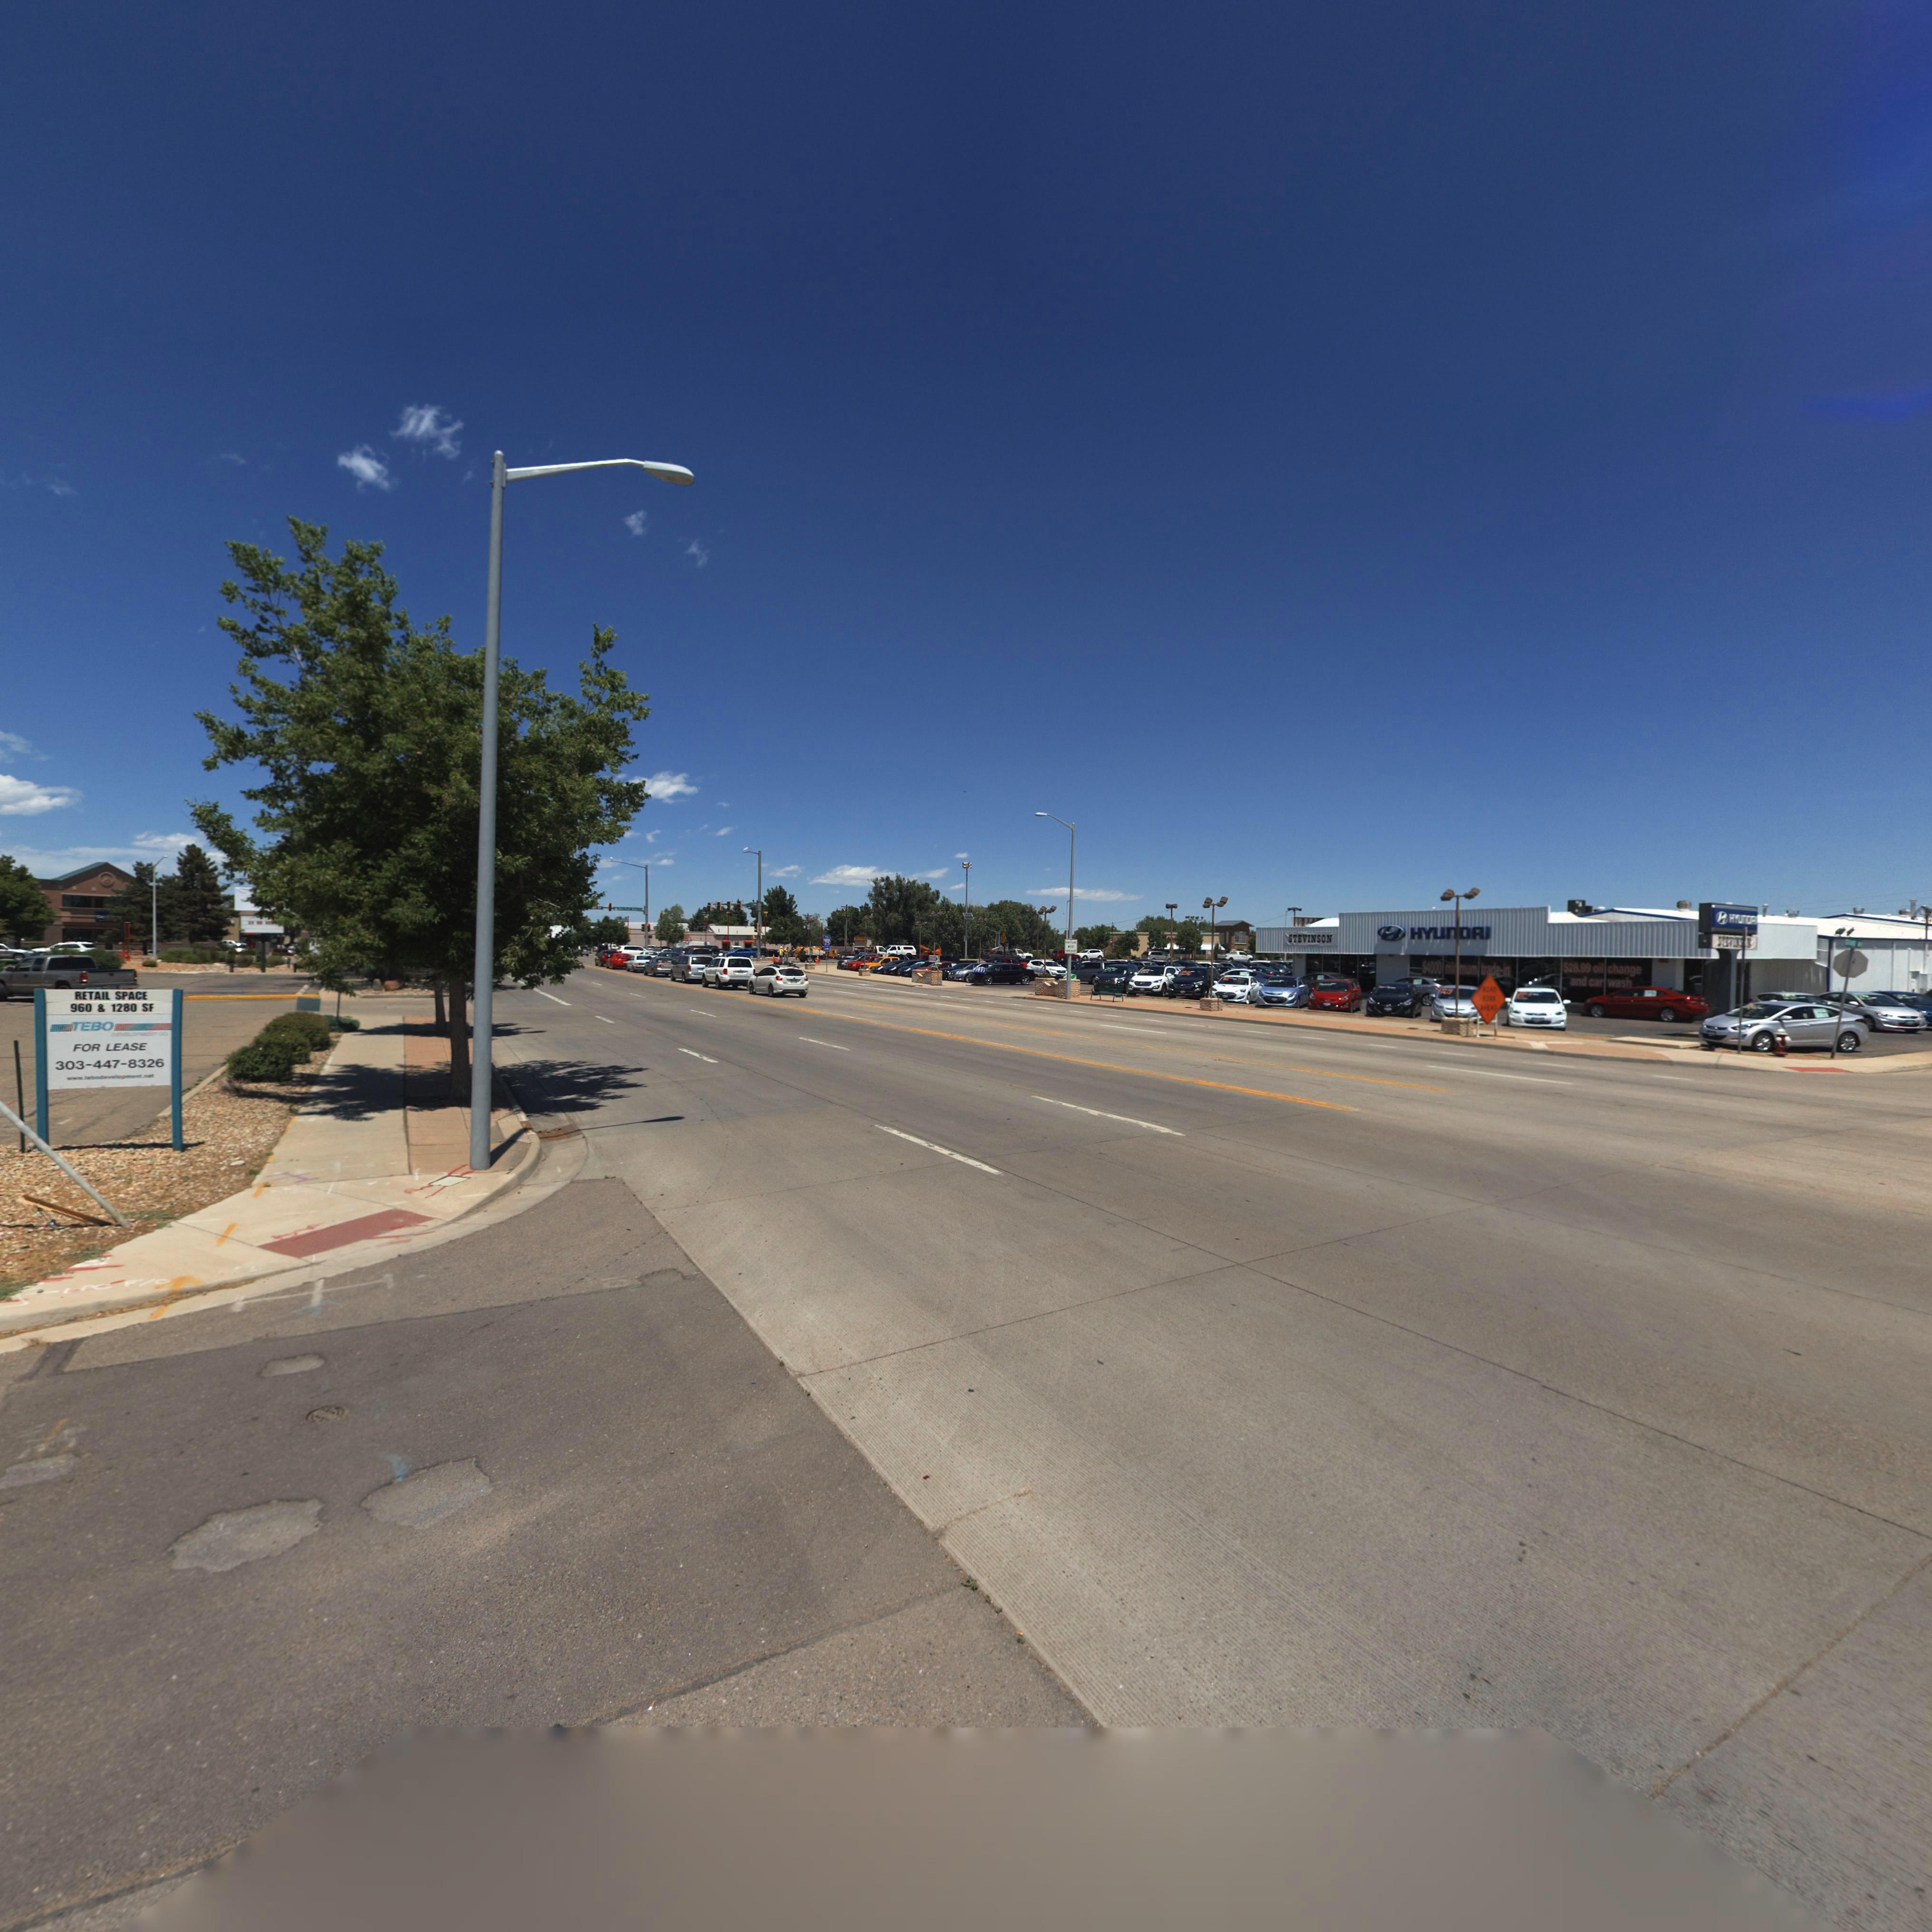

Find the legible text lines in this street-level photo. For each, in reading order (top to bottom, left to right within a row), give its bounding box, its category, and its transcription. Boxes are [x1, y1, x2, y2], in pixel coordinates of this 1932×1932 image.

[1729, 913, 1758, 925] BusinessName: HYU*DA*
[1288, 934, 1332, 943] BusinessName: STEVINSON
[1410, 926, 1491, 940] BusinessName: HYUnDAI
[1718, 935, 1752, 948] BusinessName: STEV*****